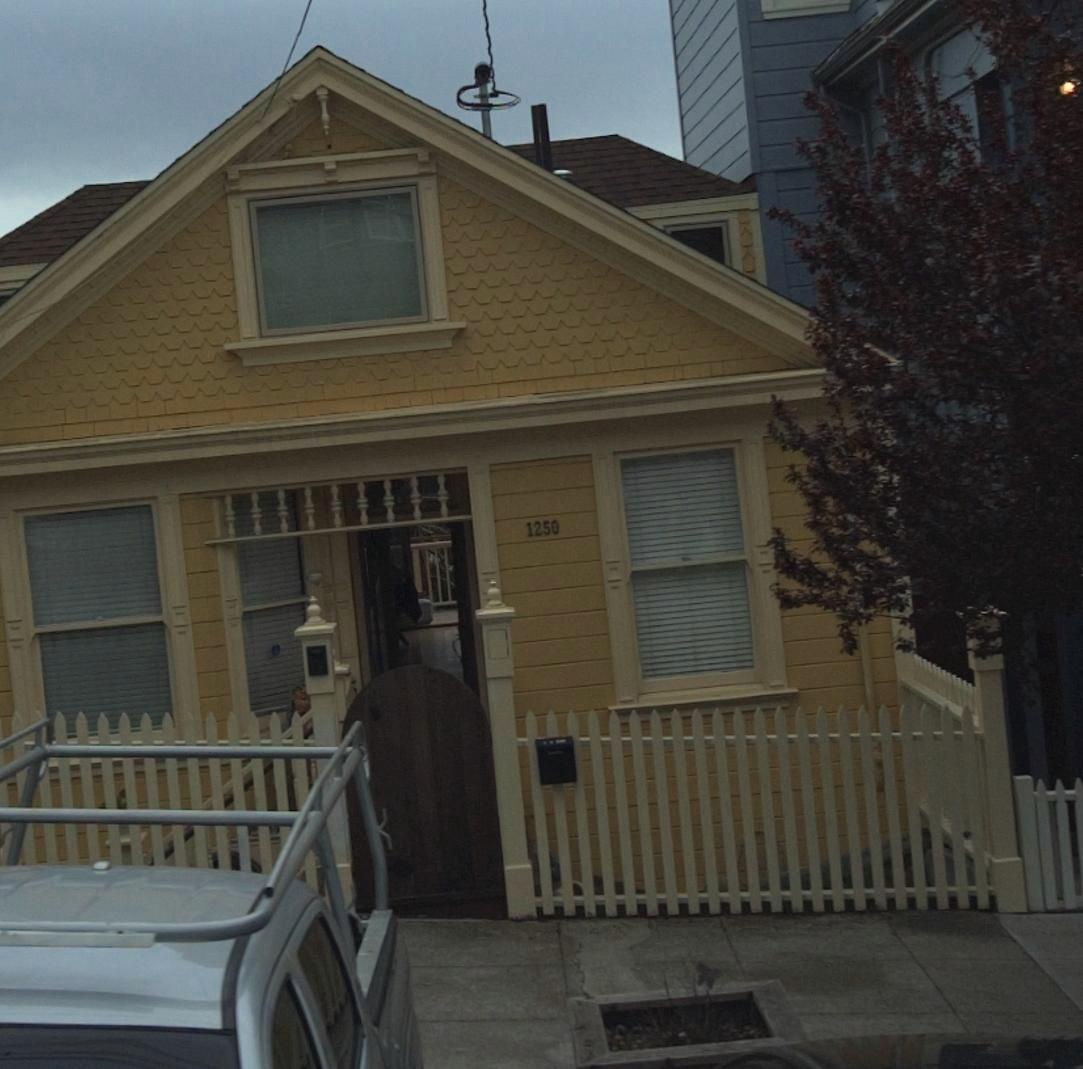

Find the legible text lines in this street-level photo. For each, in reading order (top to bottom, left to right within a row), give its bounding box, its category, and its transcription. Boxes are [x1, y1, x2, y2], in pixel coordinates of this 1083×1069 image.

[524, 519, 561, 538] StreetNumber: 1250